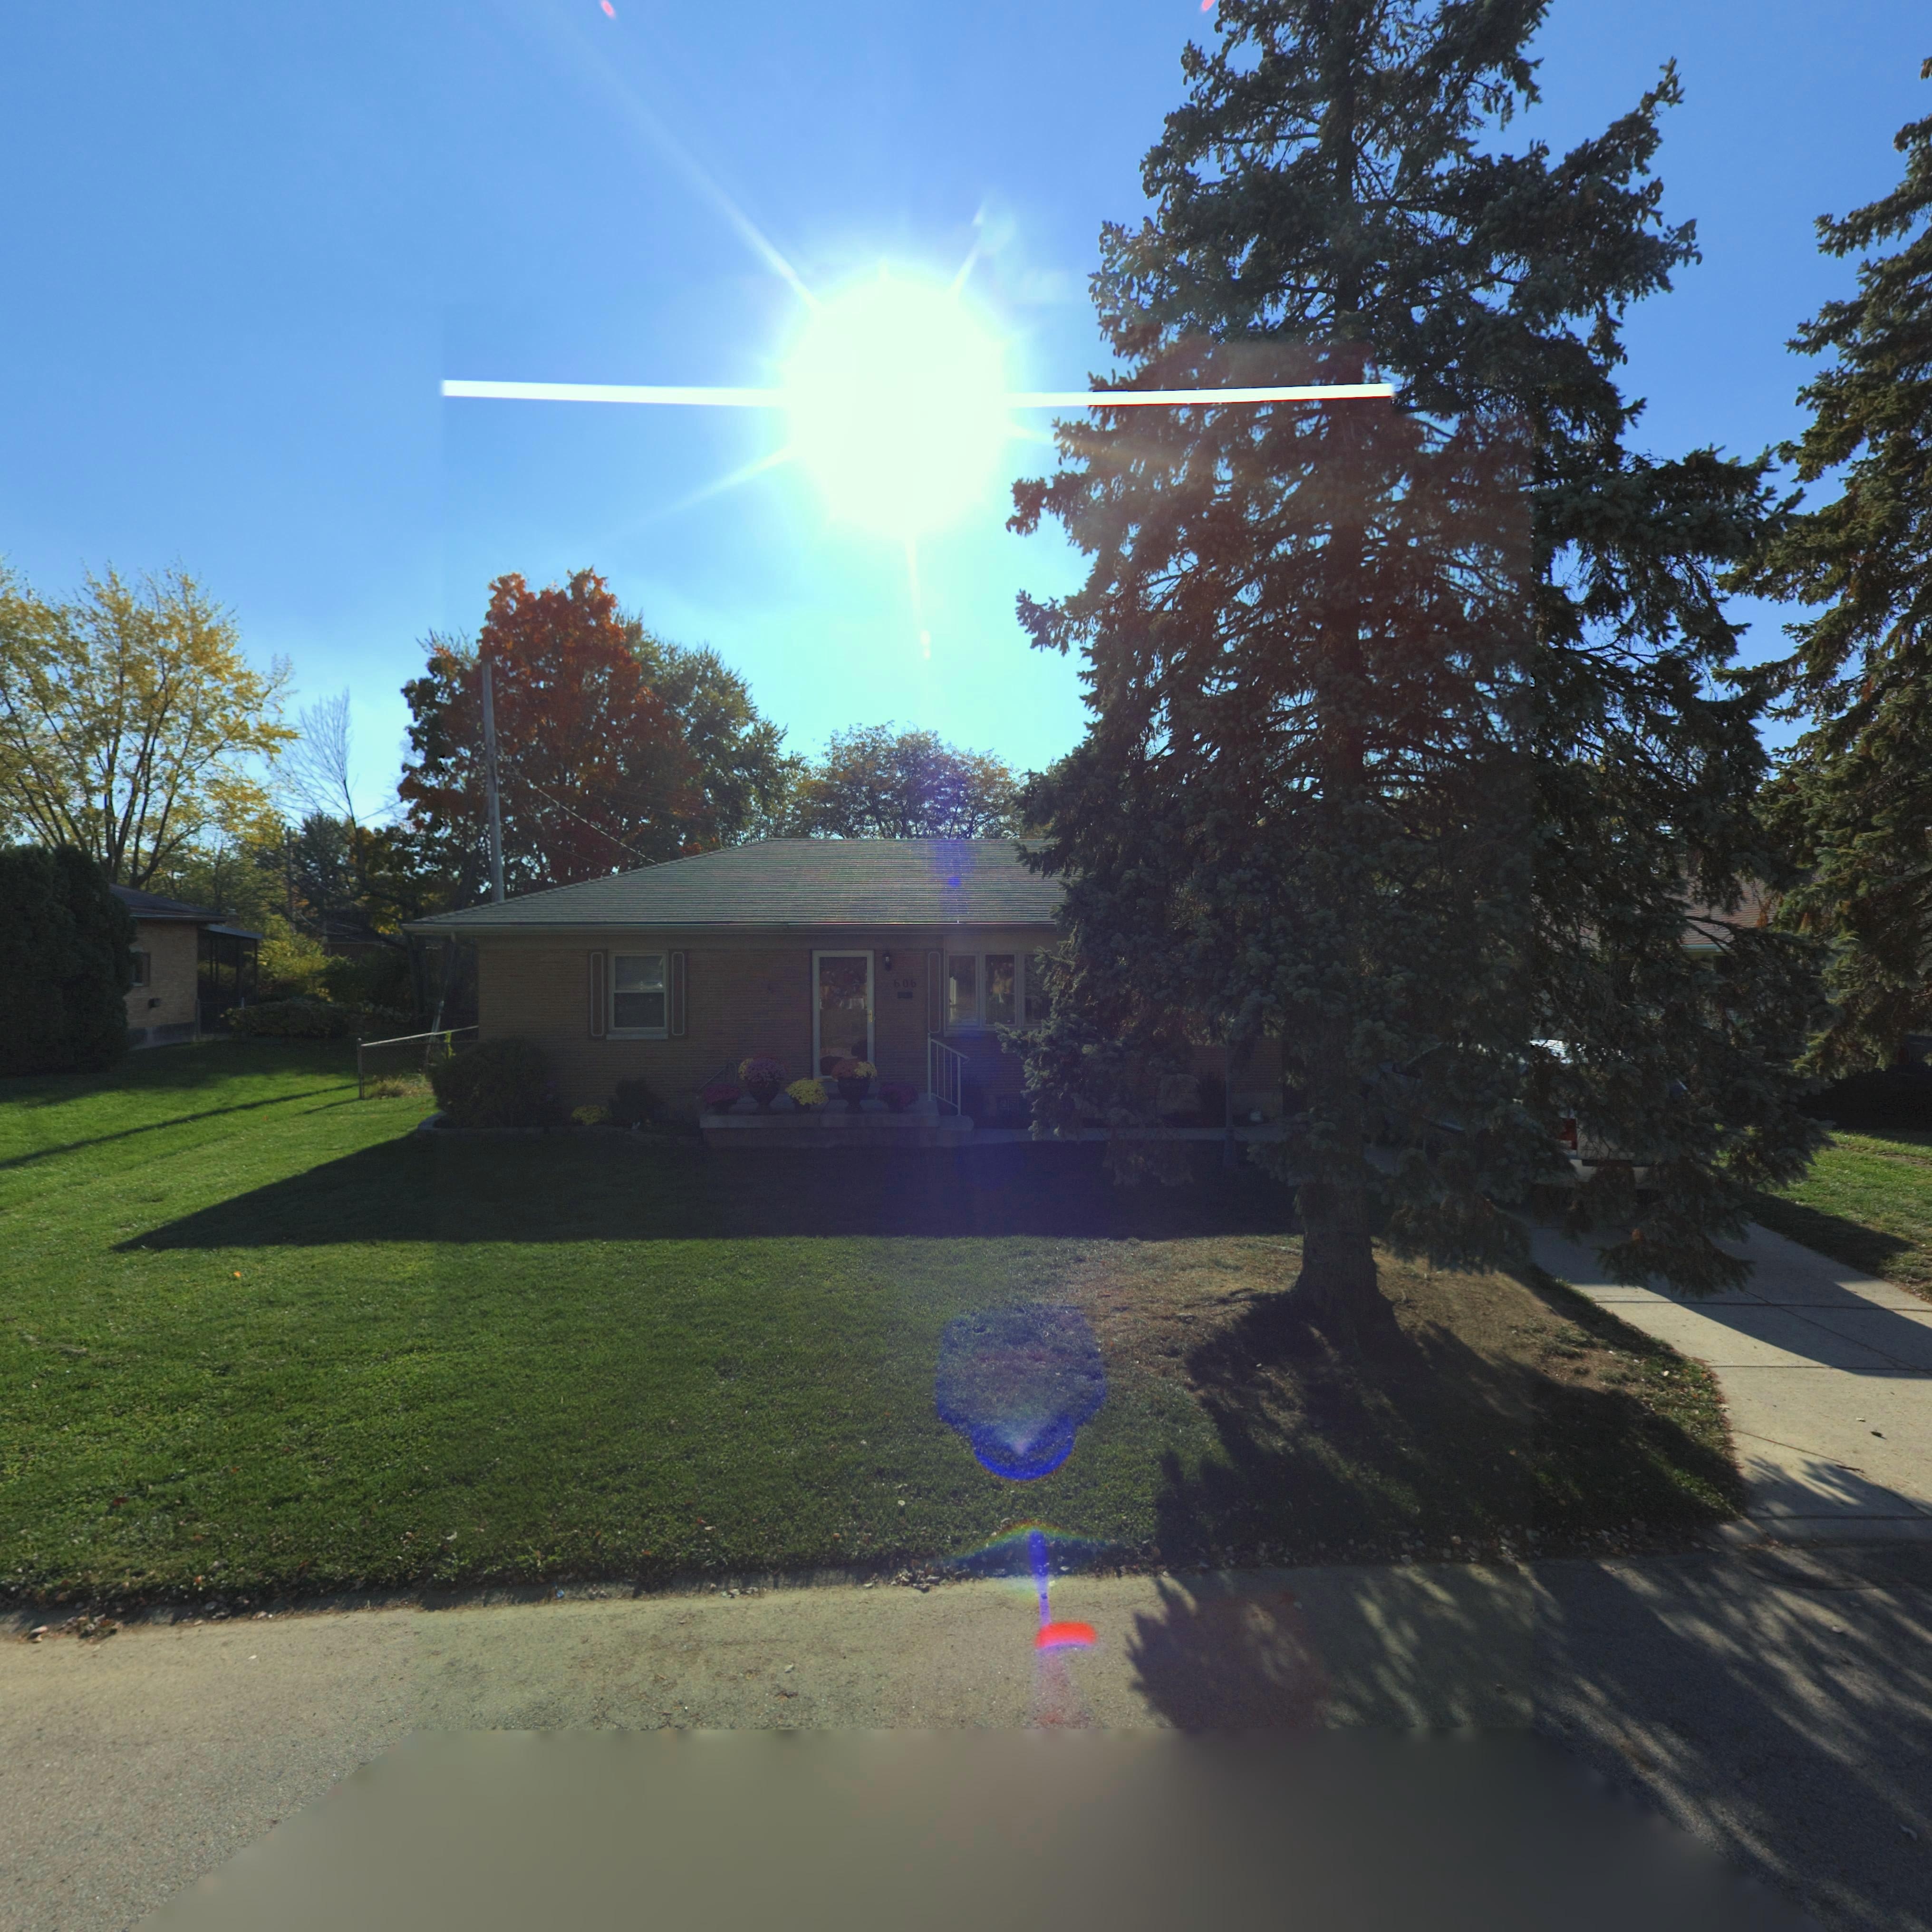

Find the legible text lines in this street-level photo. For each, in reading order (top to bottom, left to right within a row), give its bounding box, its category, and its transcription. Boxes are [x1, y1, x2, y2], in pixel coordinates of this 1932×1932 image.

[893, 977, 917, 988] StreetNumber: 606